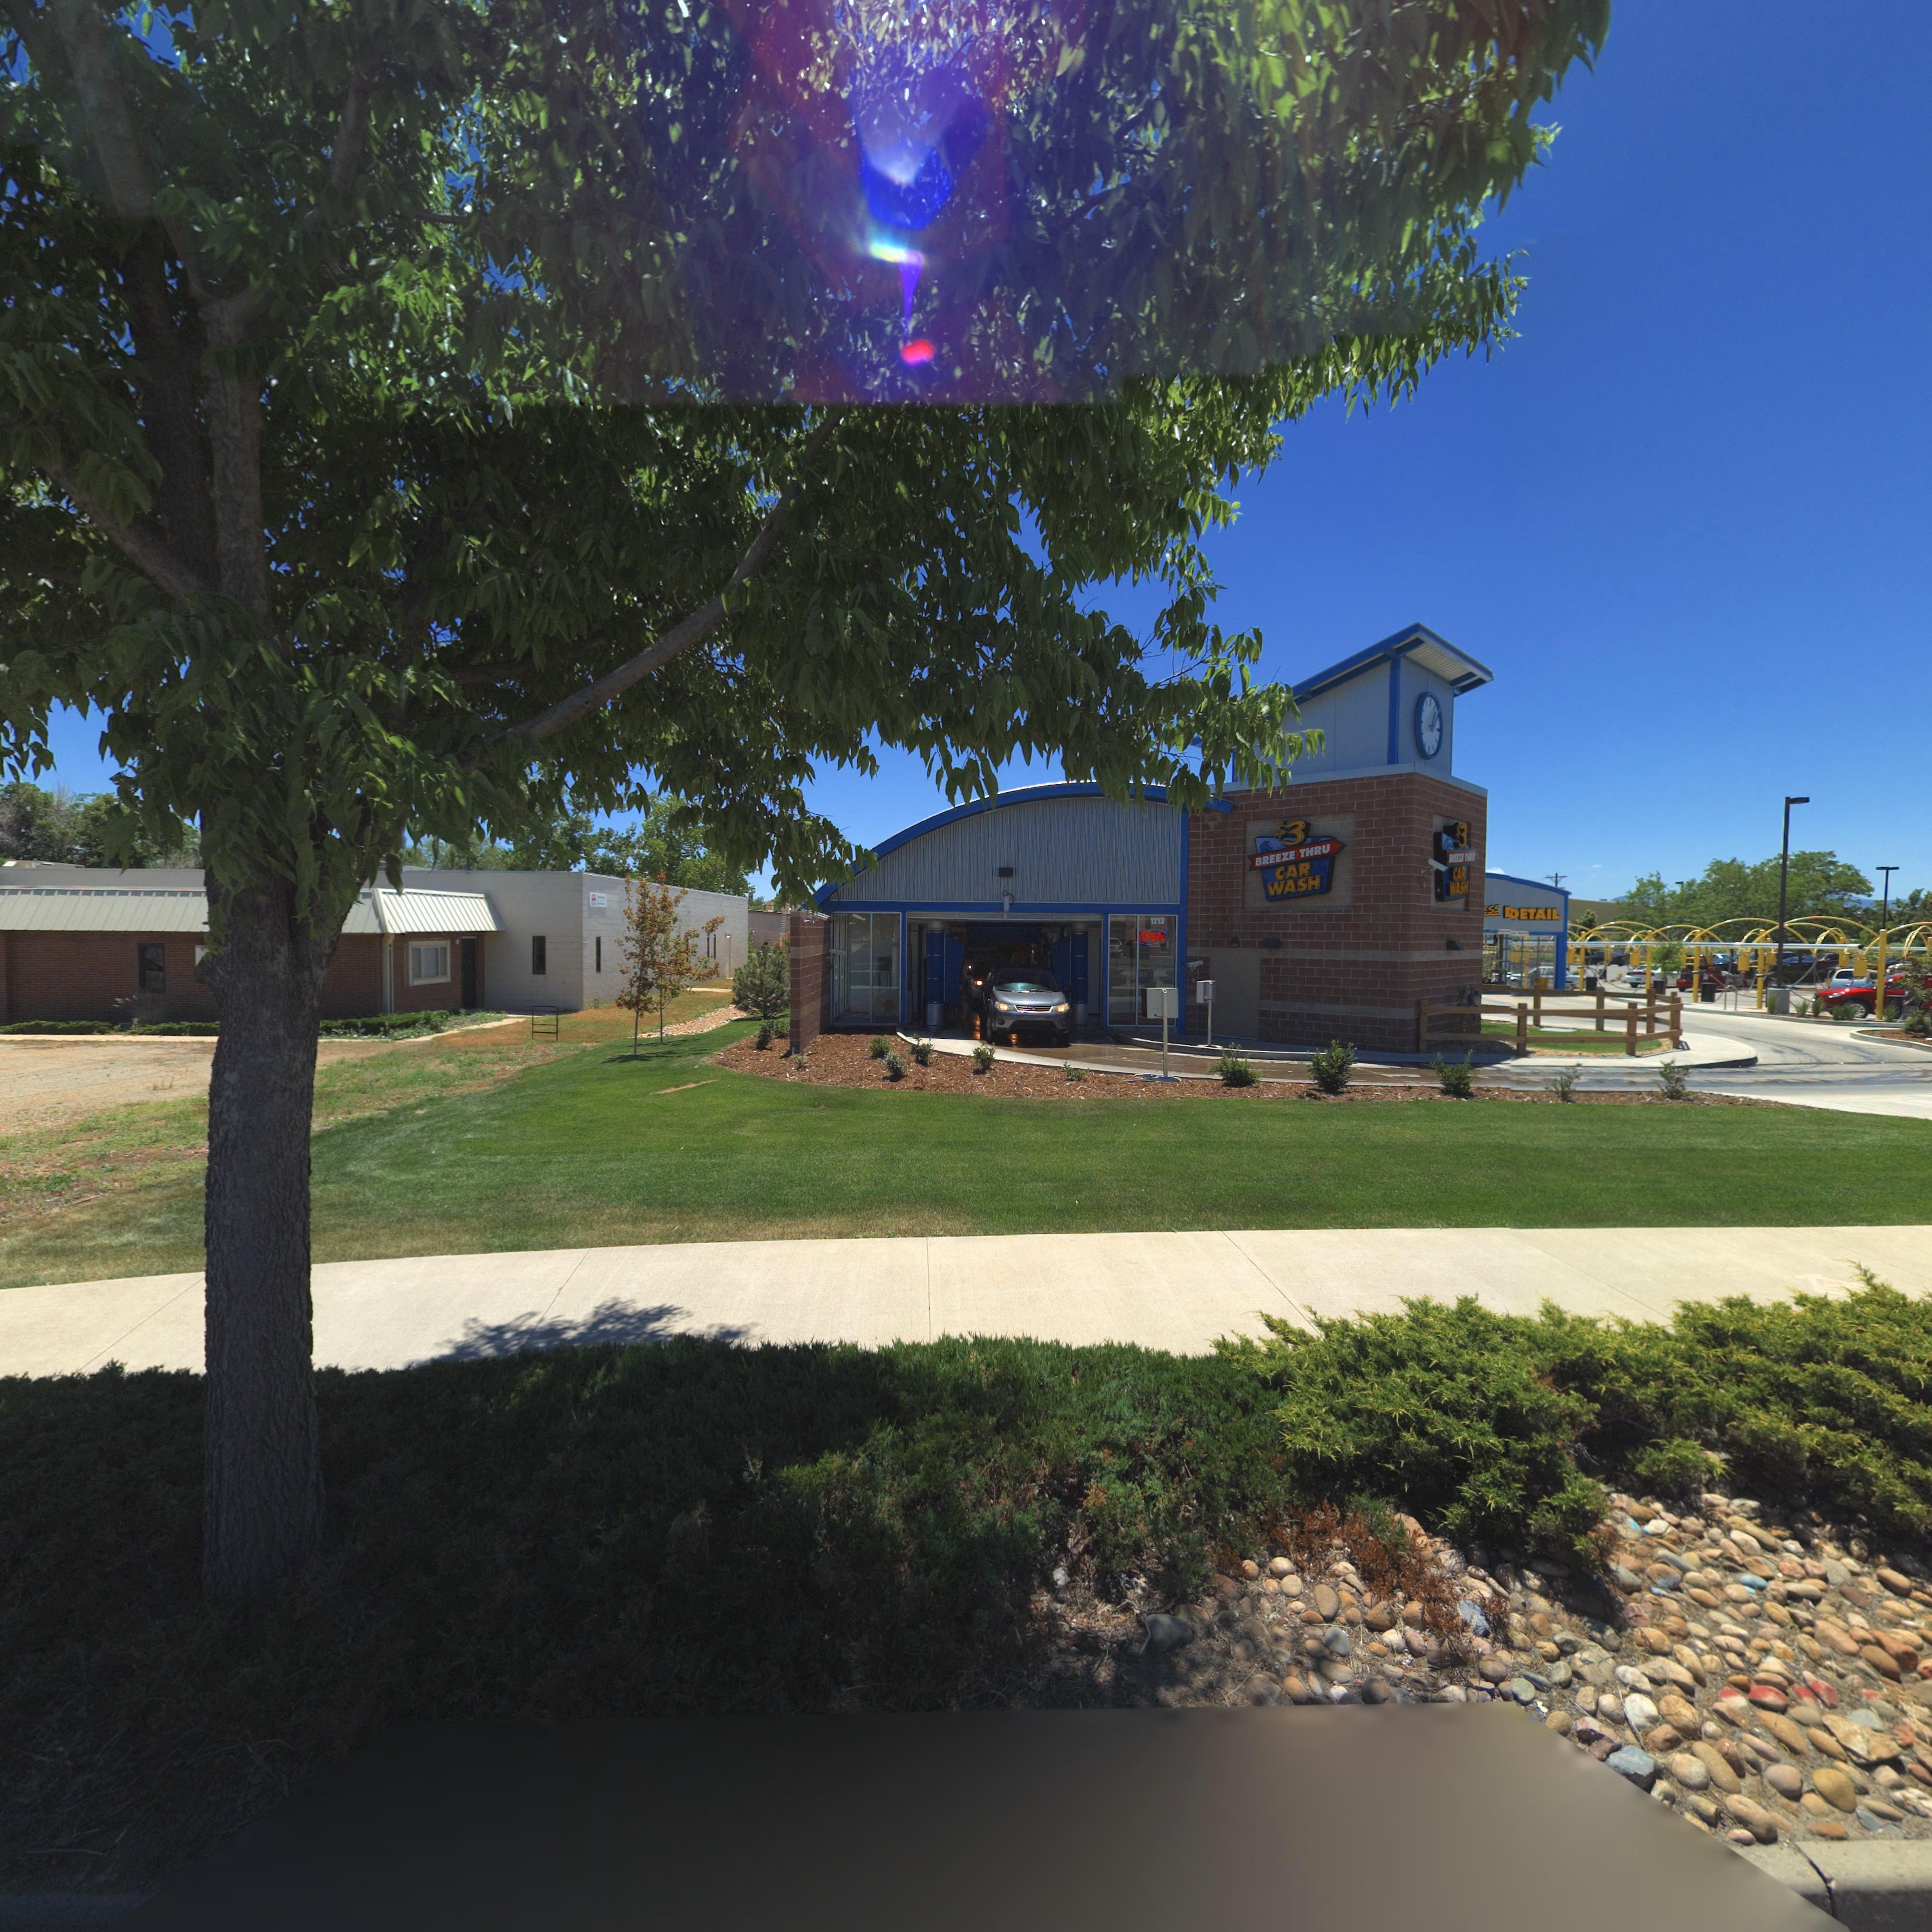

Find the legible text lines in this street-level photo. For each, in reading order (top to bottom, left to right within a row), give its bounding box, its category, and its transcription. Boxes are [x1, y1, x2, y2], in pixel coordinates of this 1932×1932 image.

[1255, 842, 1332, 866] BusinessName: BREEZE THRU
[1274, 861, 1312, 881] BusinessName: CAR
[1265, 873, 1322, 897] BusinessName: WASH
[1150, 917, 1165, 924] StreetNumber: 1213